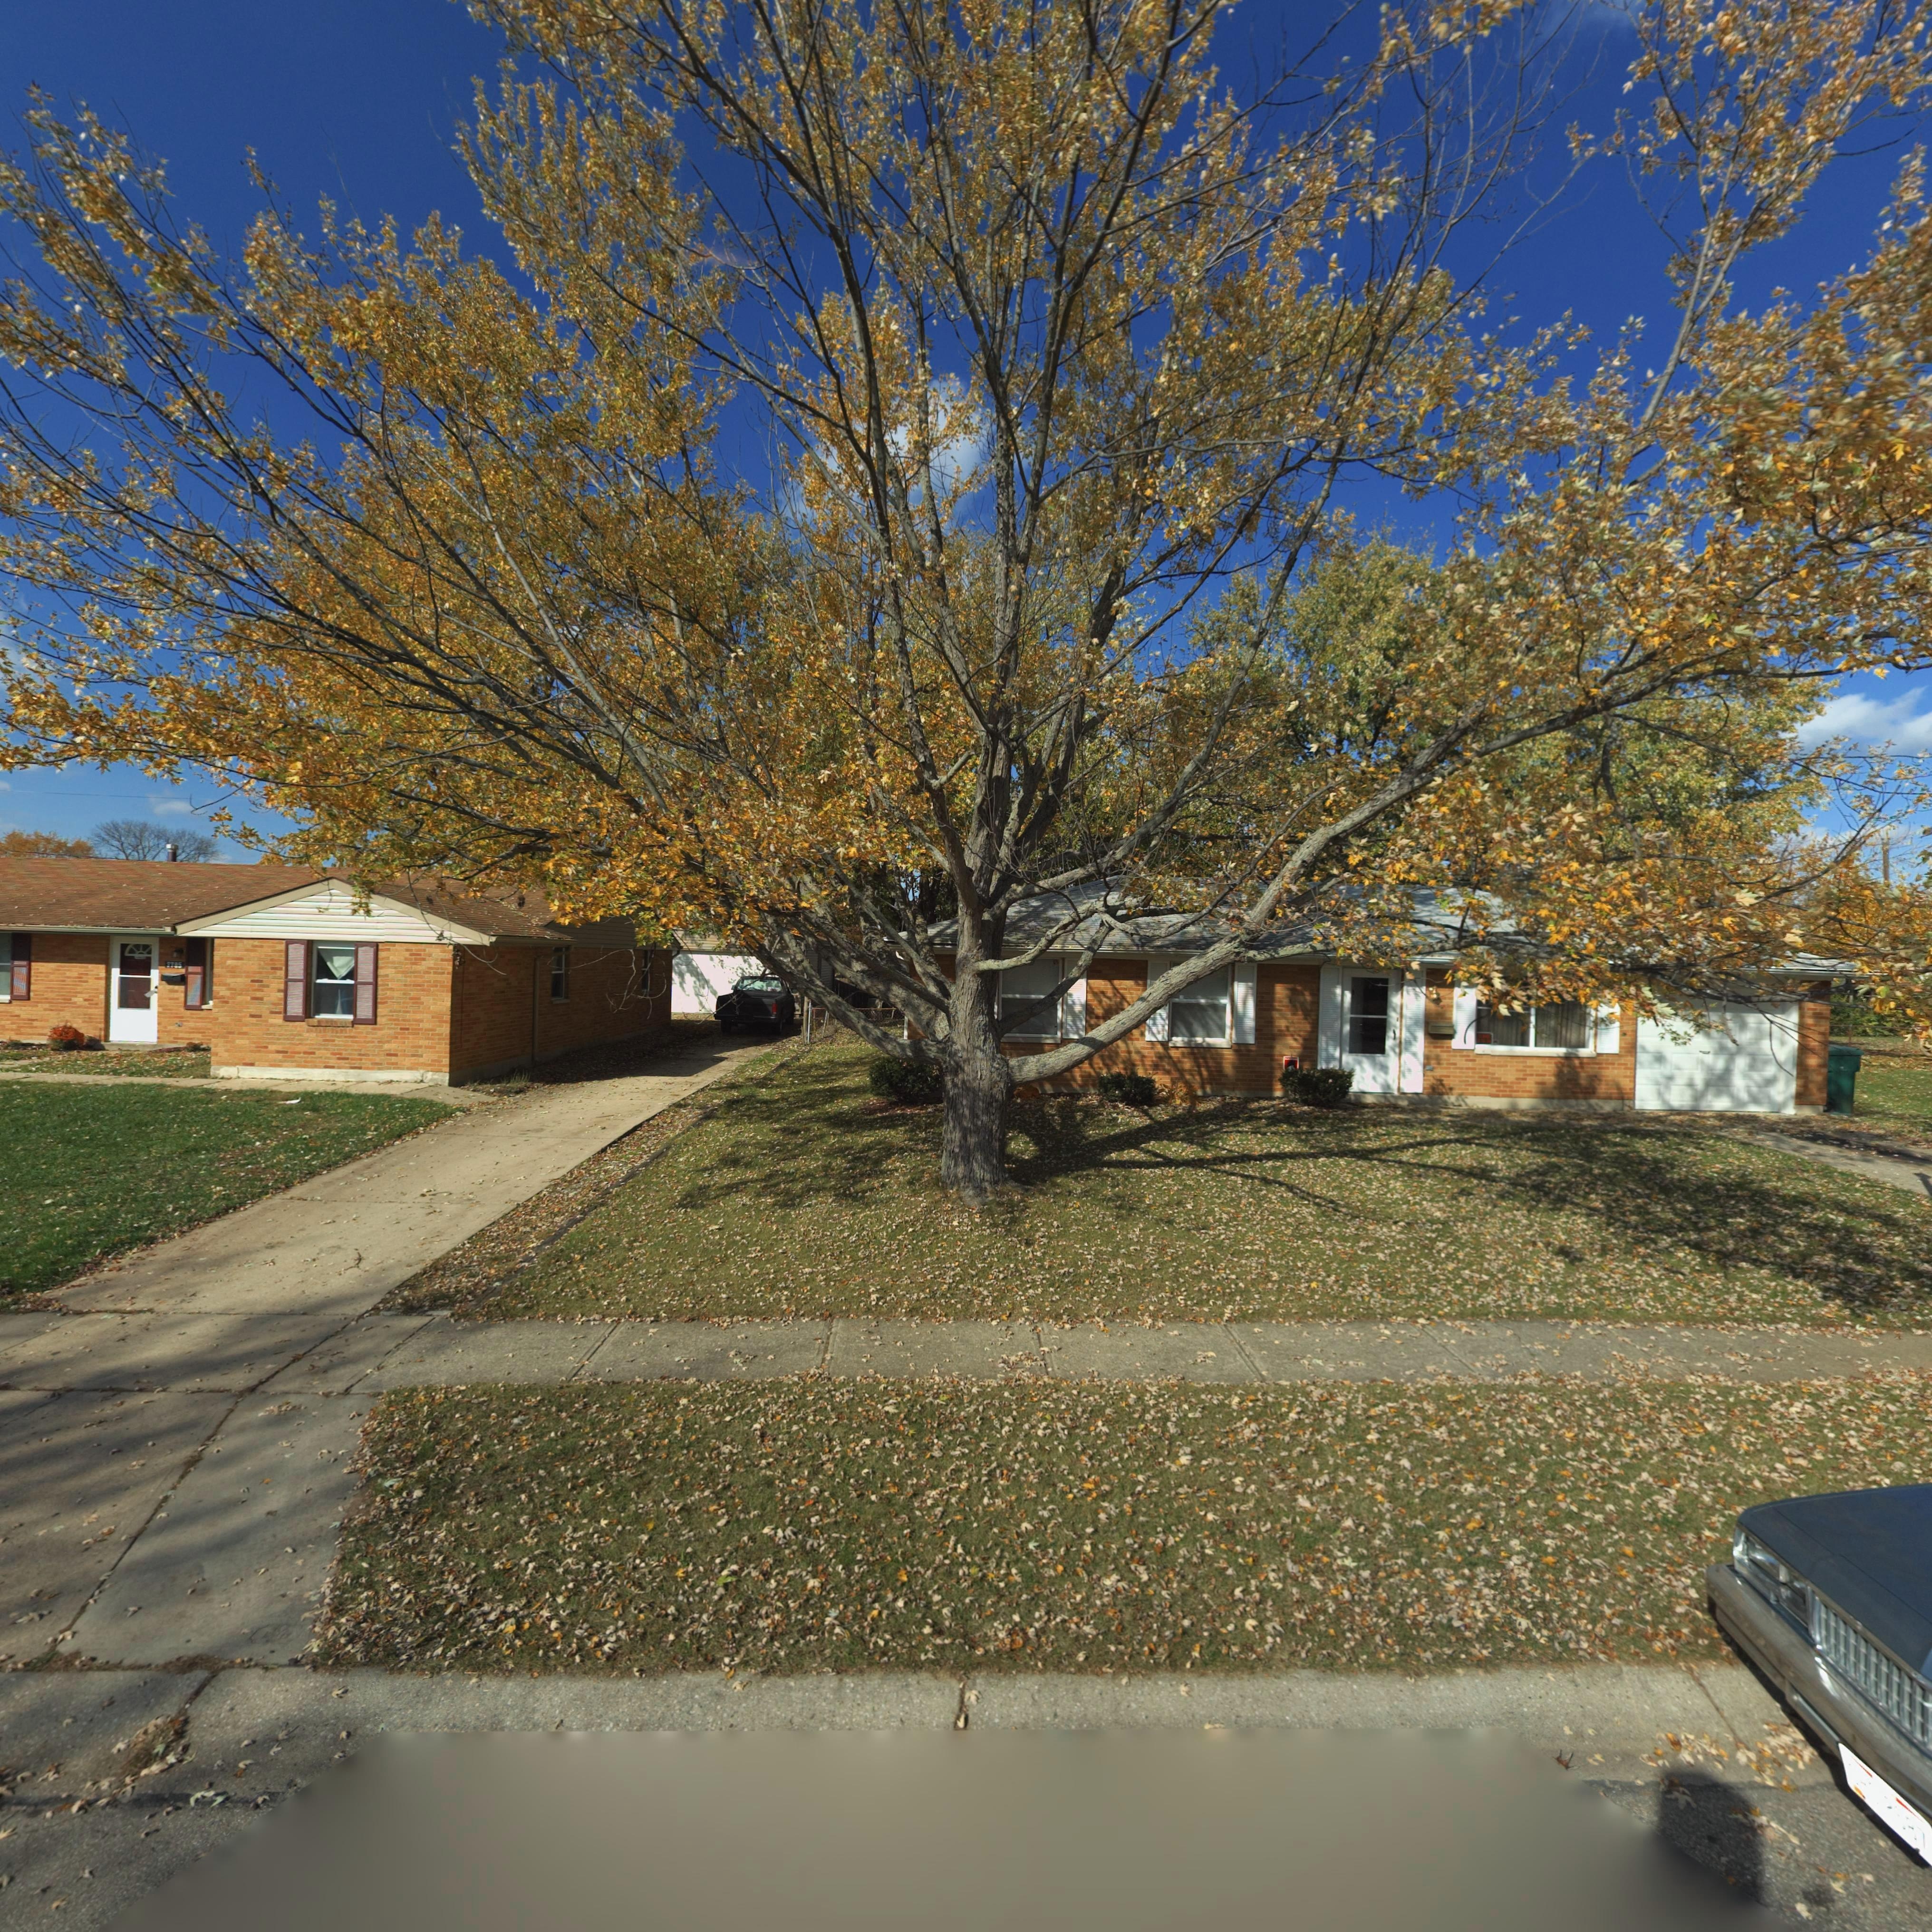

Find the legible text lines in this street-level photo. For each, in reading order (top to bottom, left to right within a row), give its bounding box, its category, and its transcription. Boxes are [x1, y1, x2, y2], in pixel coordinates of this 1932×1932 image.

[166, 961, 183, 968] StreetNumber: *785